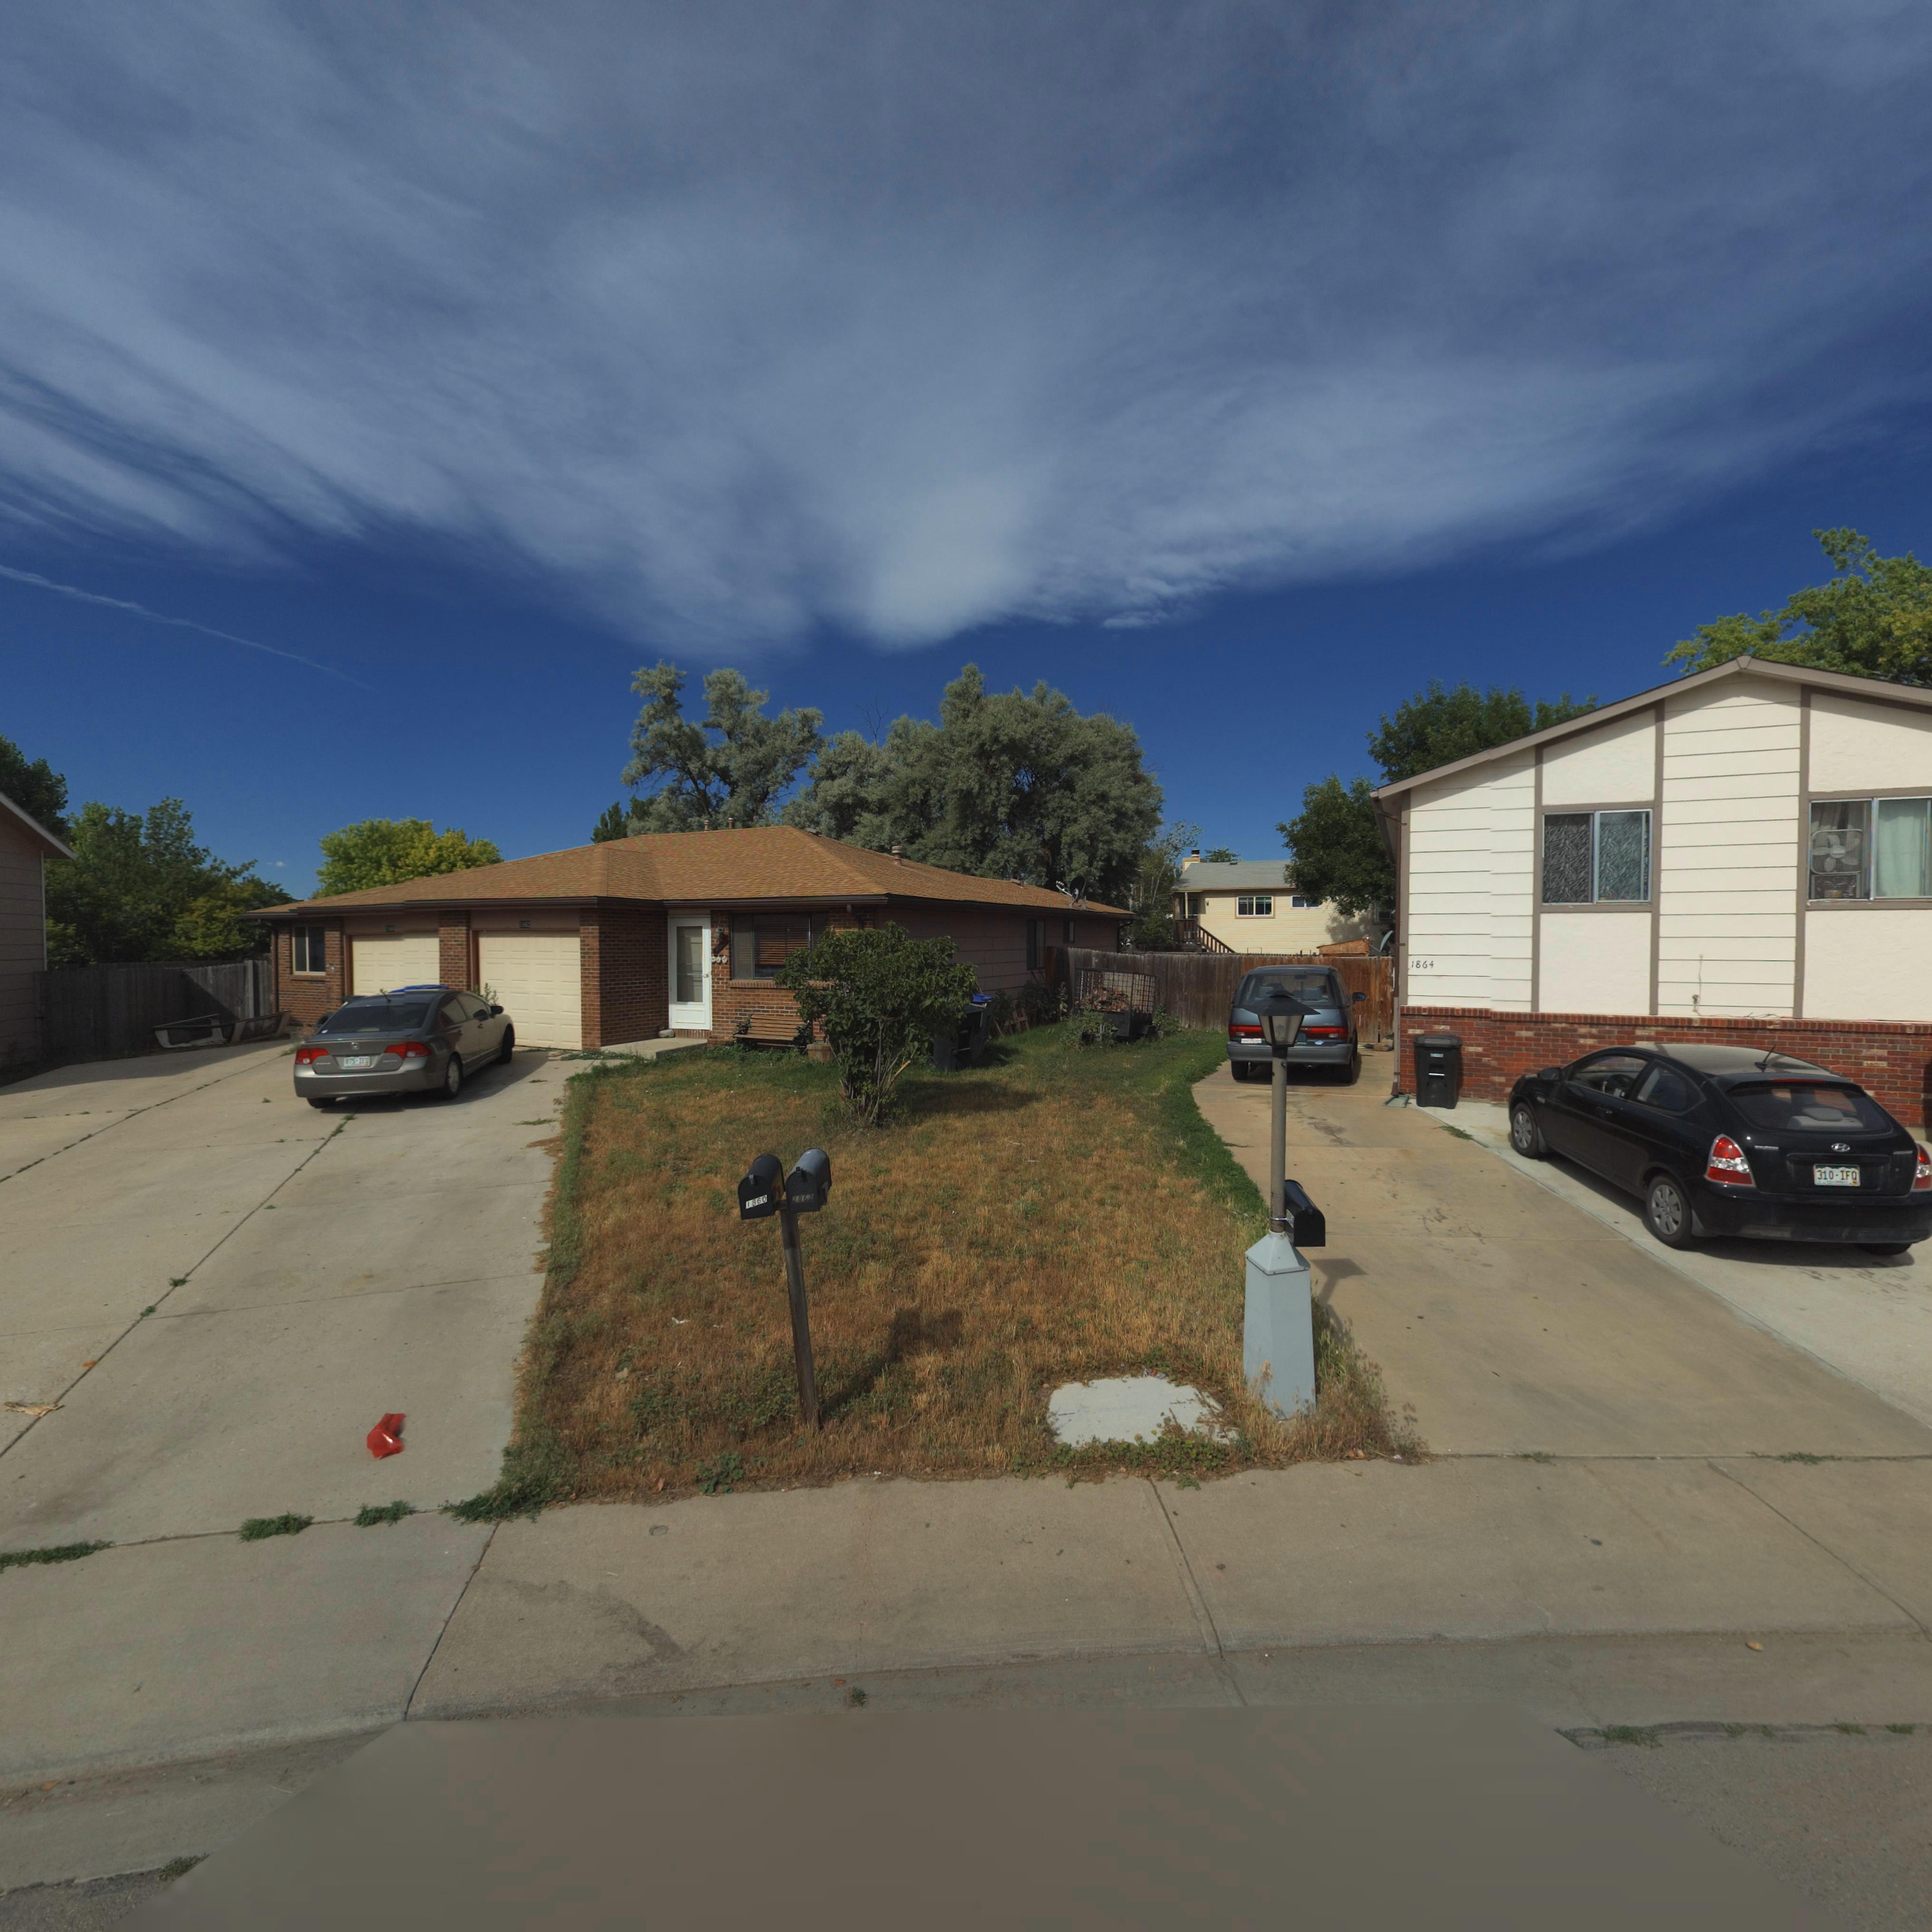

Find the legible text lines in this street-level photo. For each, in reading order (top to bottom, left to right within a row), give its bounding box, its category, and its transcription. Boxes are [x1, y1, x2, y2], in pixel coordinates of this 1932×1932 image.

[519, 921, 531, 928] StreetNumber: 186*
[1410, 960, 1434, 968] StreetNumber: 1864
[747, 1195, 766, 1207] StreetNumber: 1860
[793, 1194, 813, 1202] StreetNumber: 1862